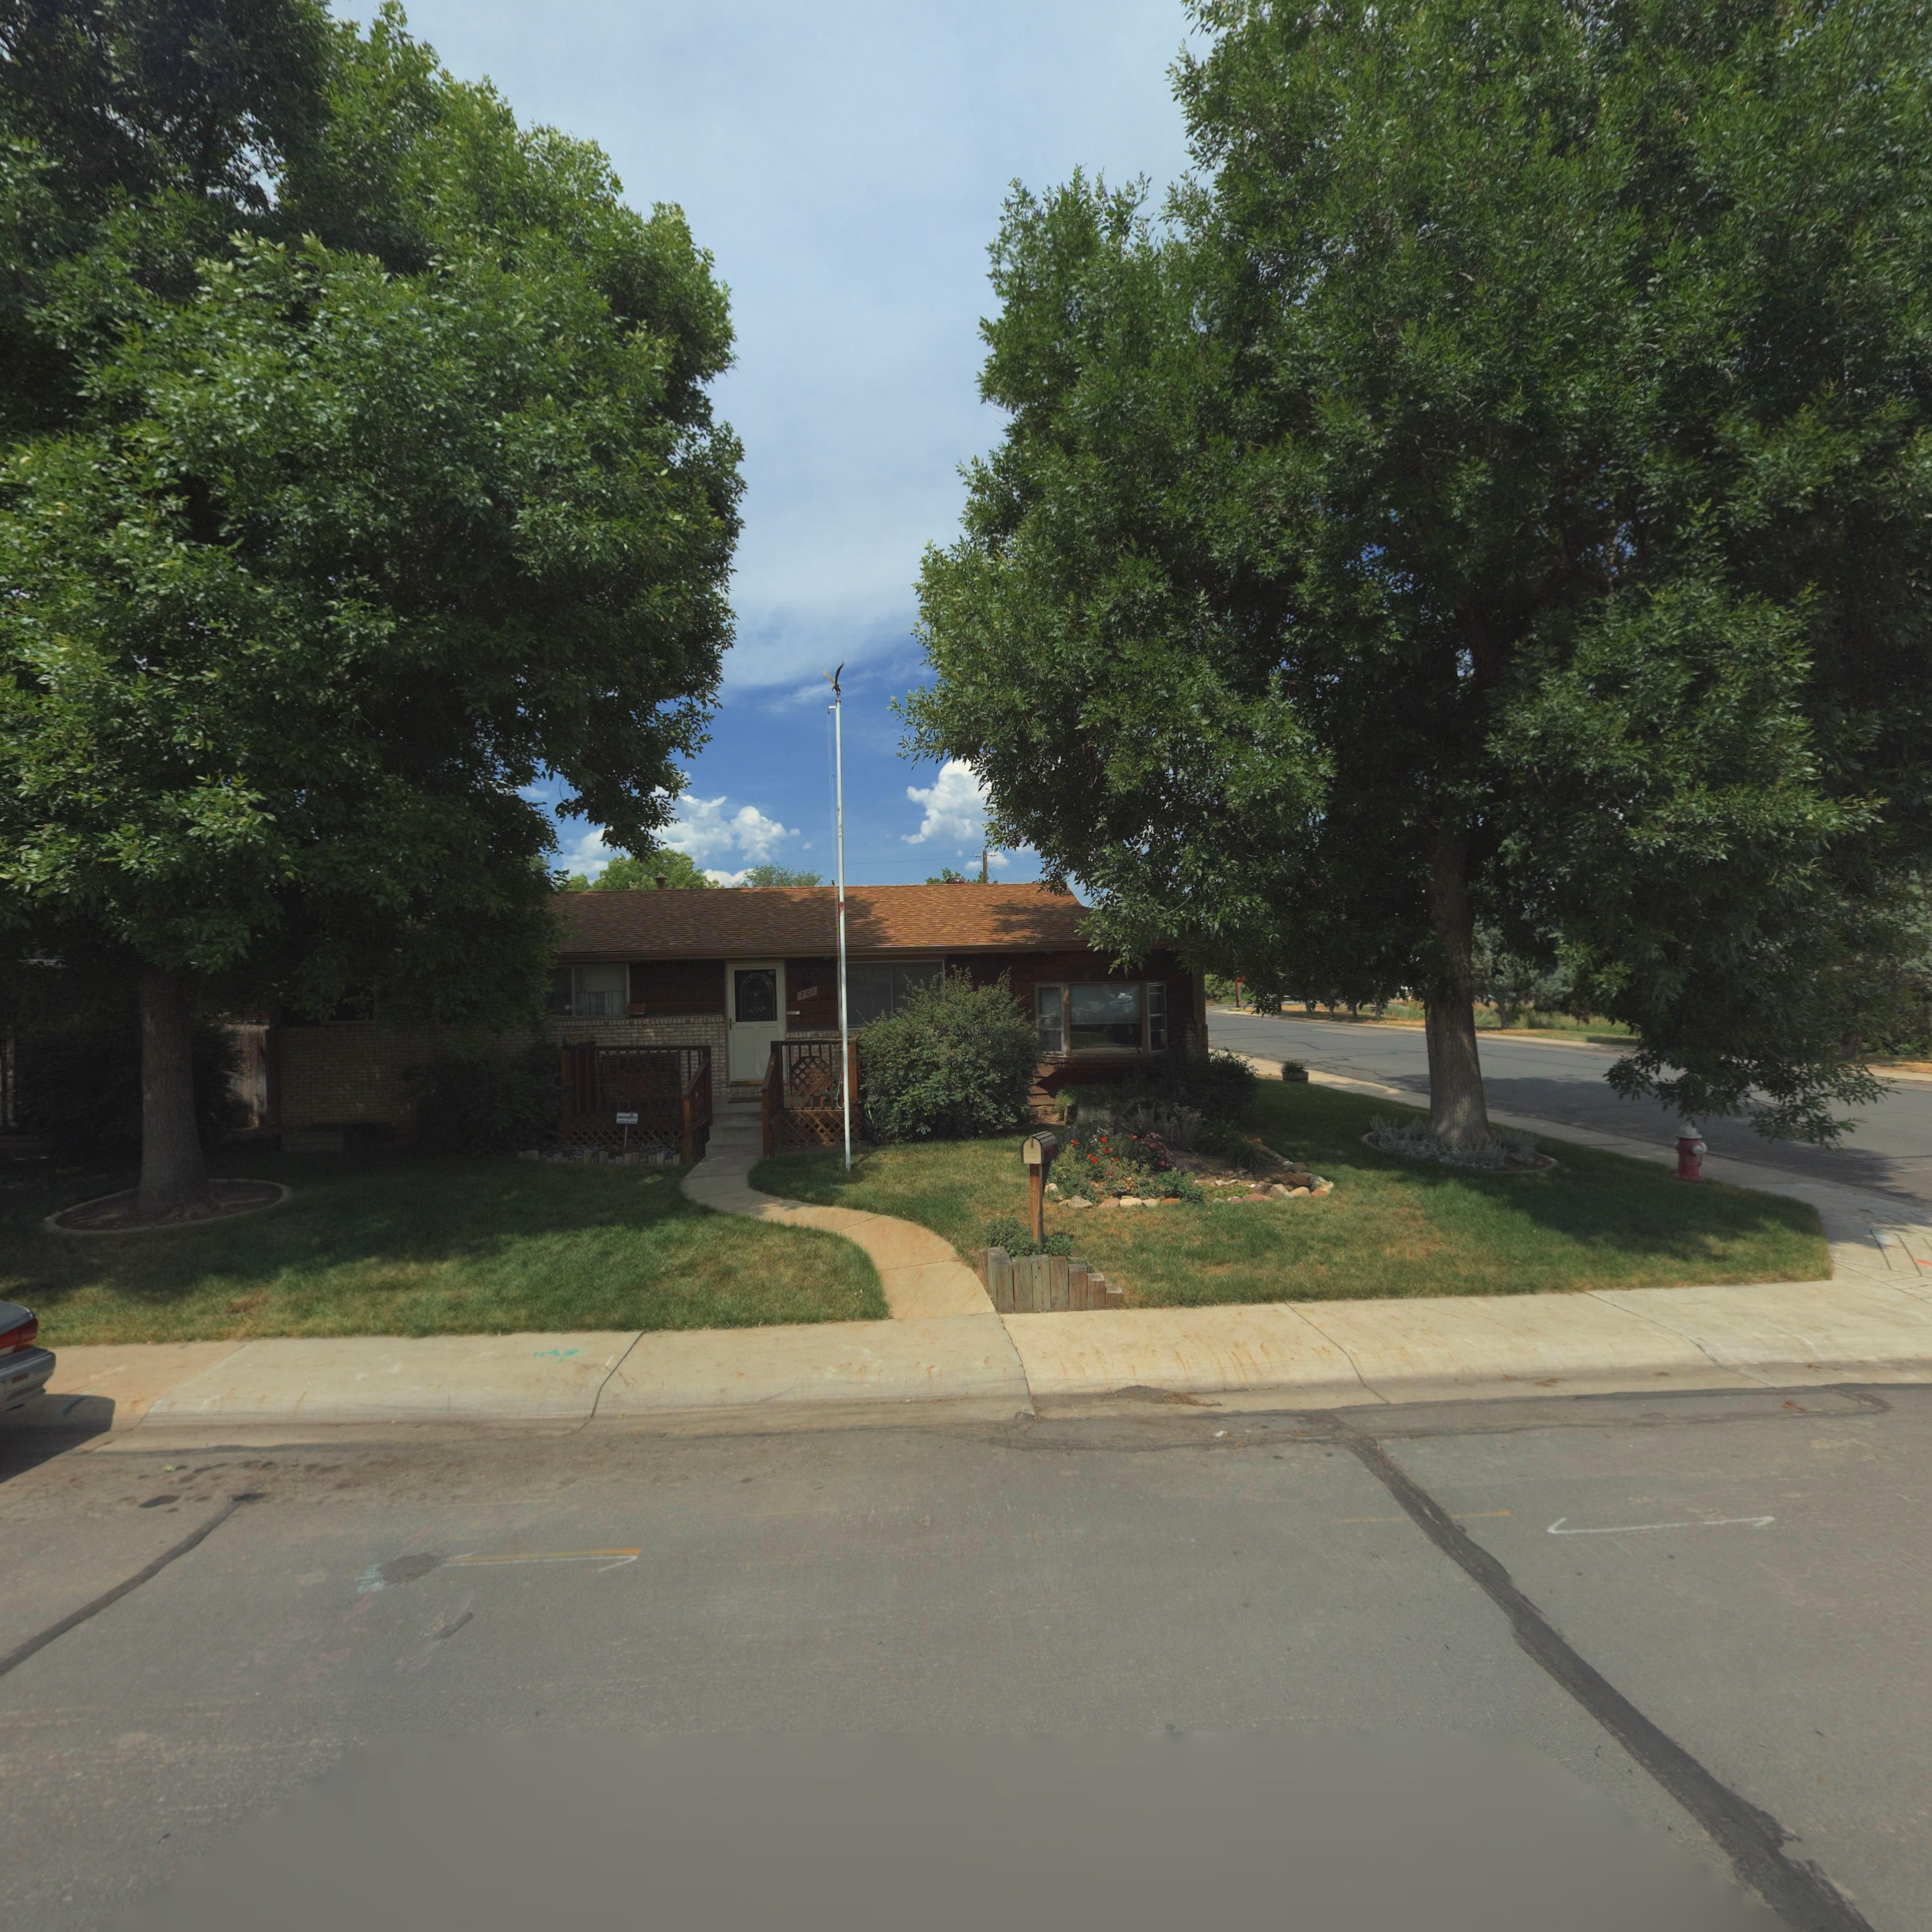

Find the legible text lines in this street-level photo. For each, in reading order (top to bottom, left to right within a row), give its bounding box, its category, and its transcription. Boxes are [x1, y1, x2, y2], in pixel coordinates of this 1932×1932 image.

[800, 987, 815, 998] StreetNumber: 701